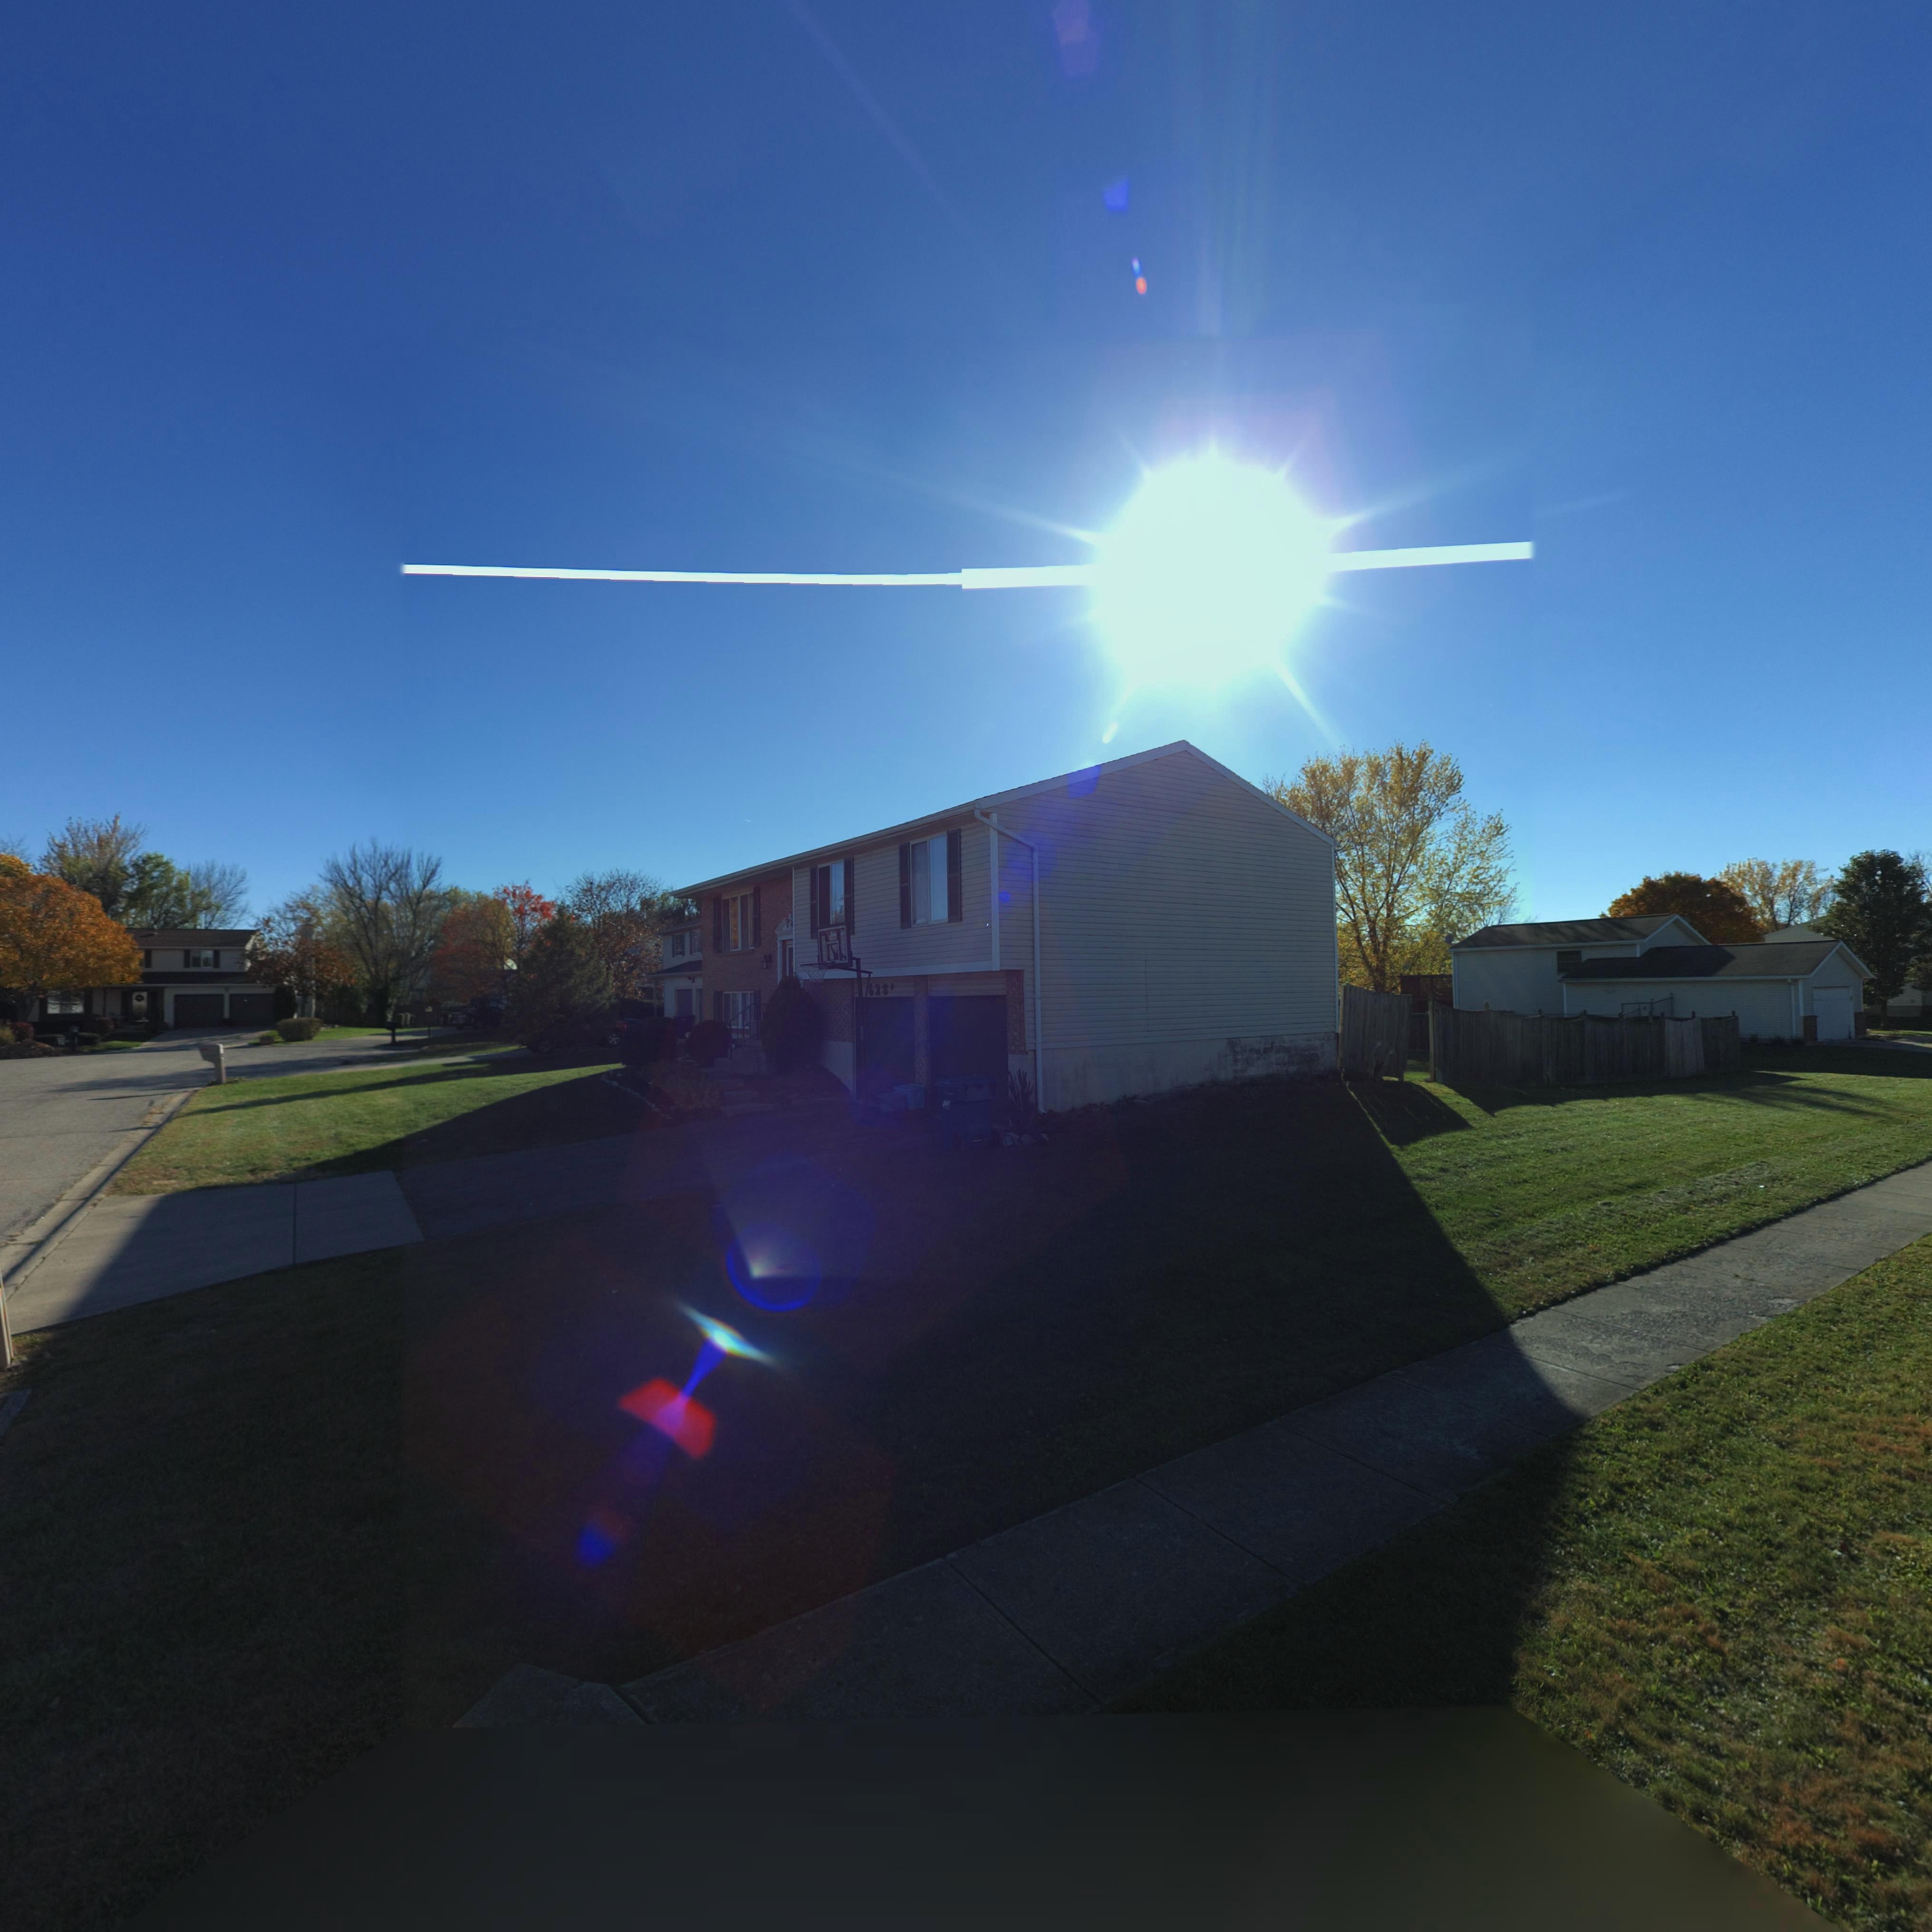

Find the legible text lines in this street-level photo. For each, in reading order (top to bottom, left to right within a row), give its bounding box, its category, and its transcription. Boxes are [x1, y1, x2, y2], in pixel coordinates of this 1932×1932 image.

[867, 981, 896, 997] StreetNumber: 62**